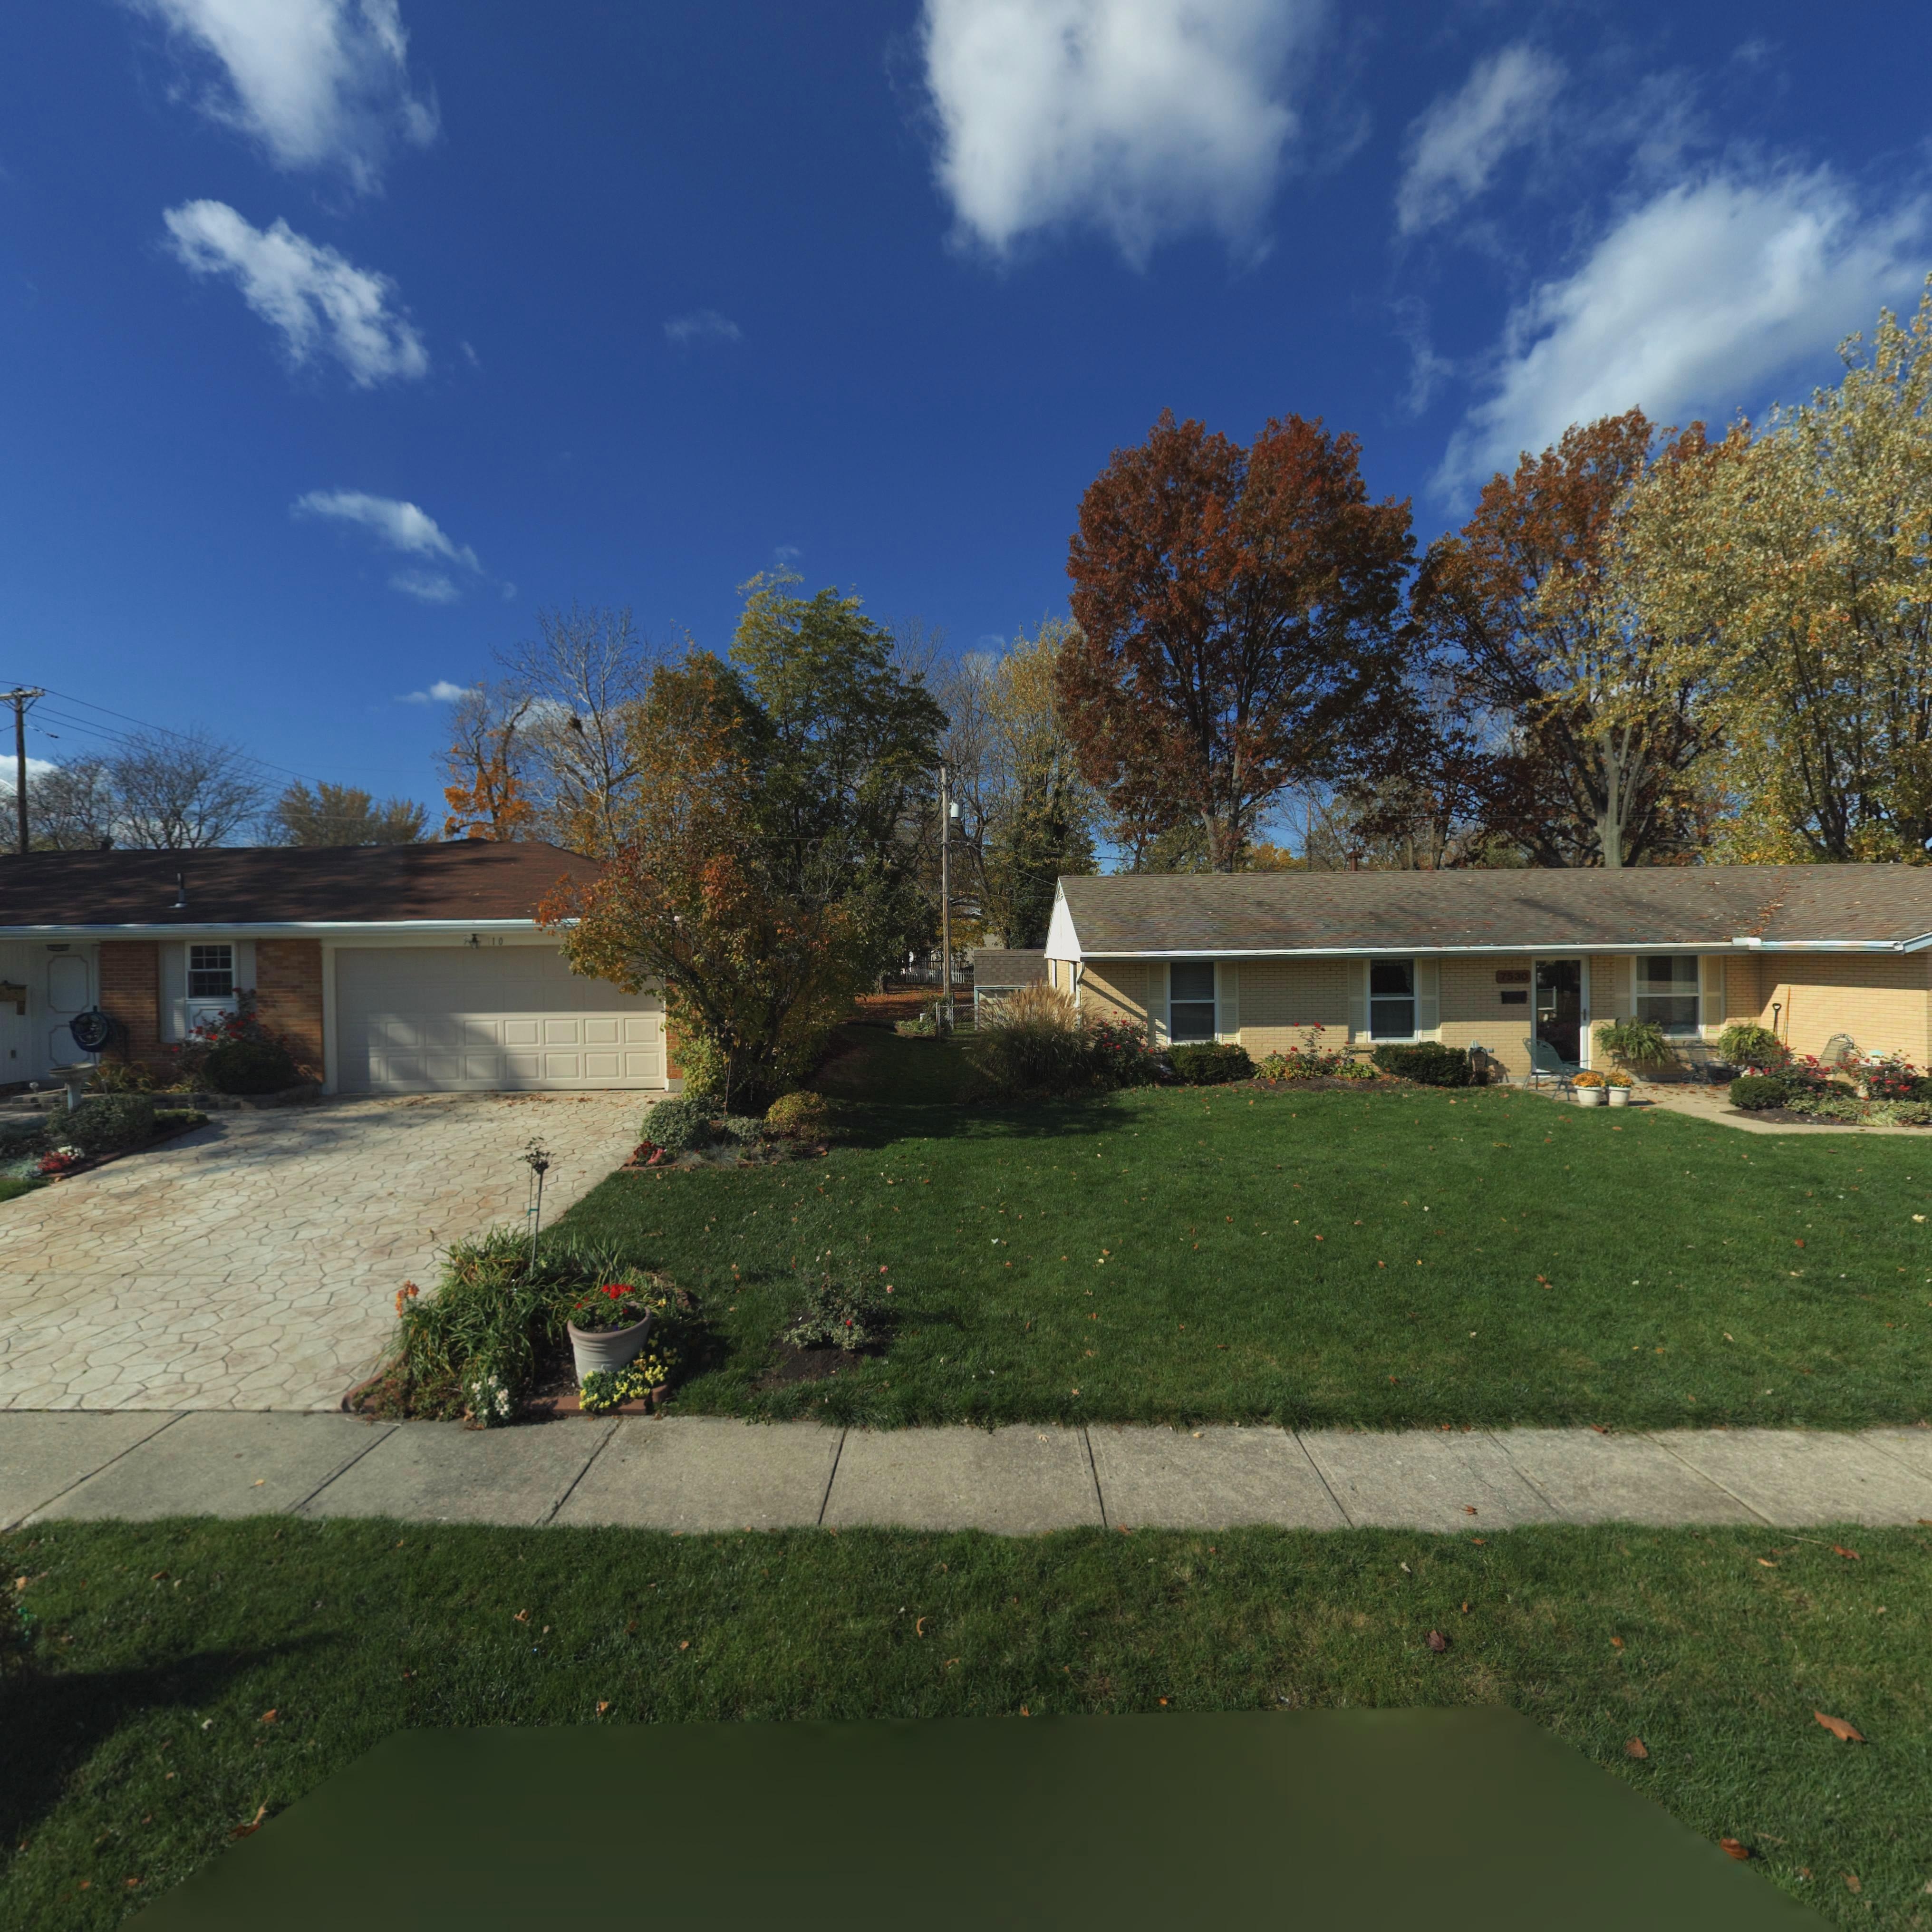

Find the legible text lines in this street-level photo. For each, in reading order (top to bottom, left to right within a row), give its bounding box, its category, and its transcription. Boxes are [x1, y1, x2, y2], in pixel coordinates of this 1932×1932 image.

[490, 936, 505, 947] StreetNumber: 10
[1498, 971, 1529, 983] StreetNumber: 7530